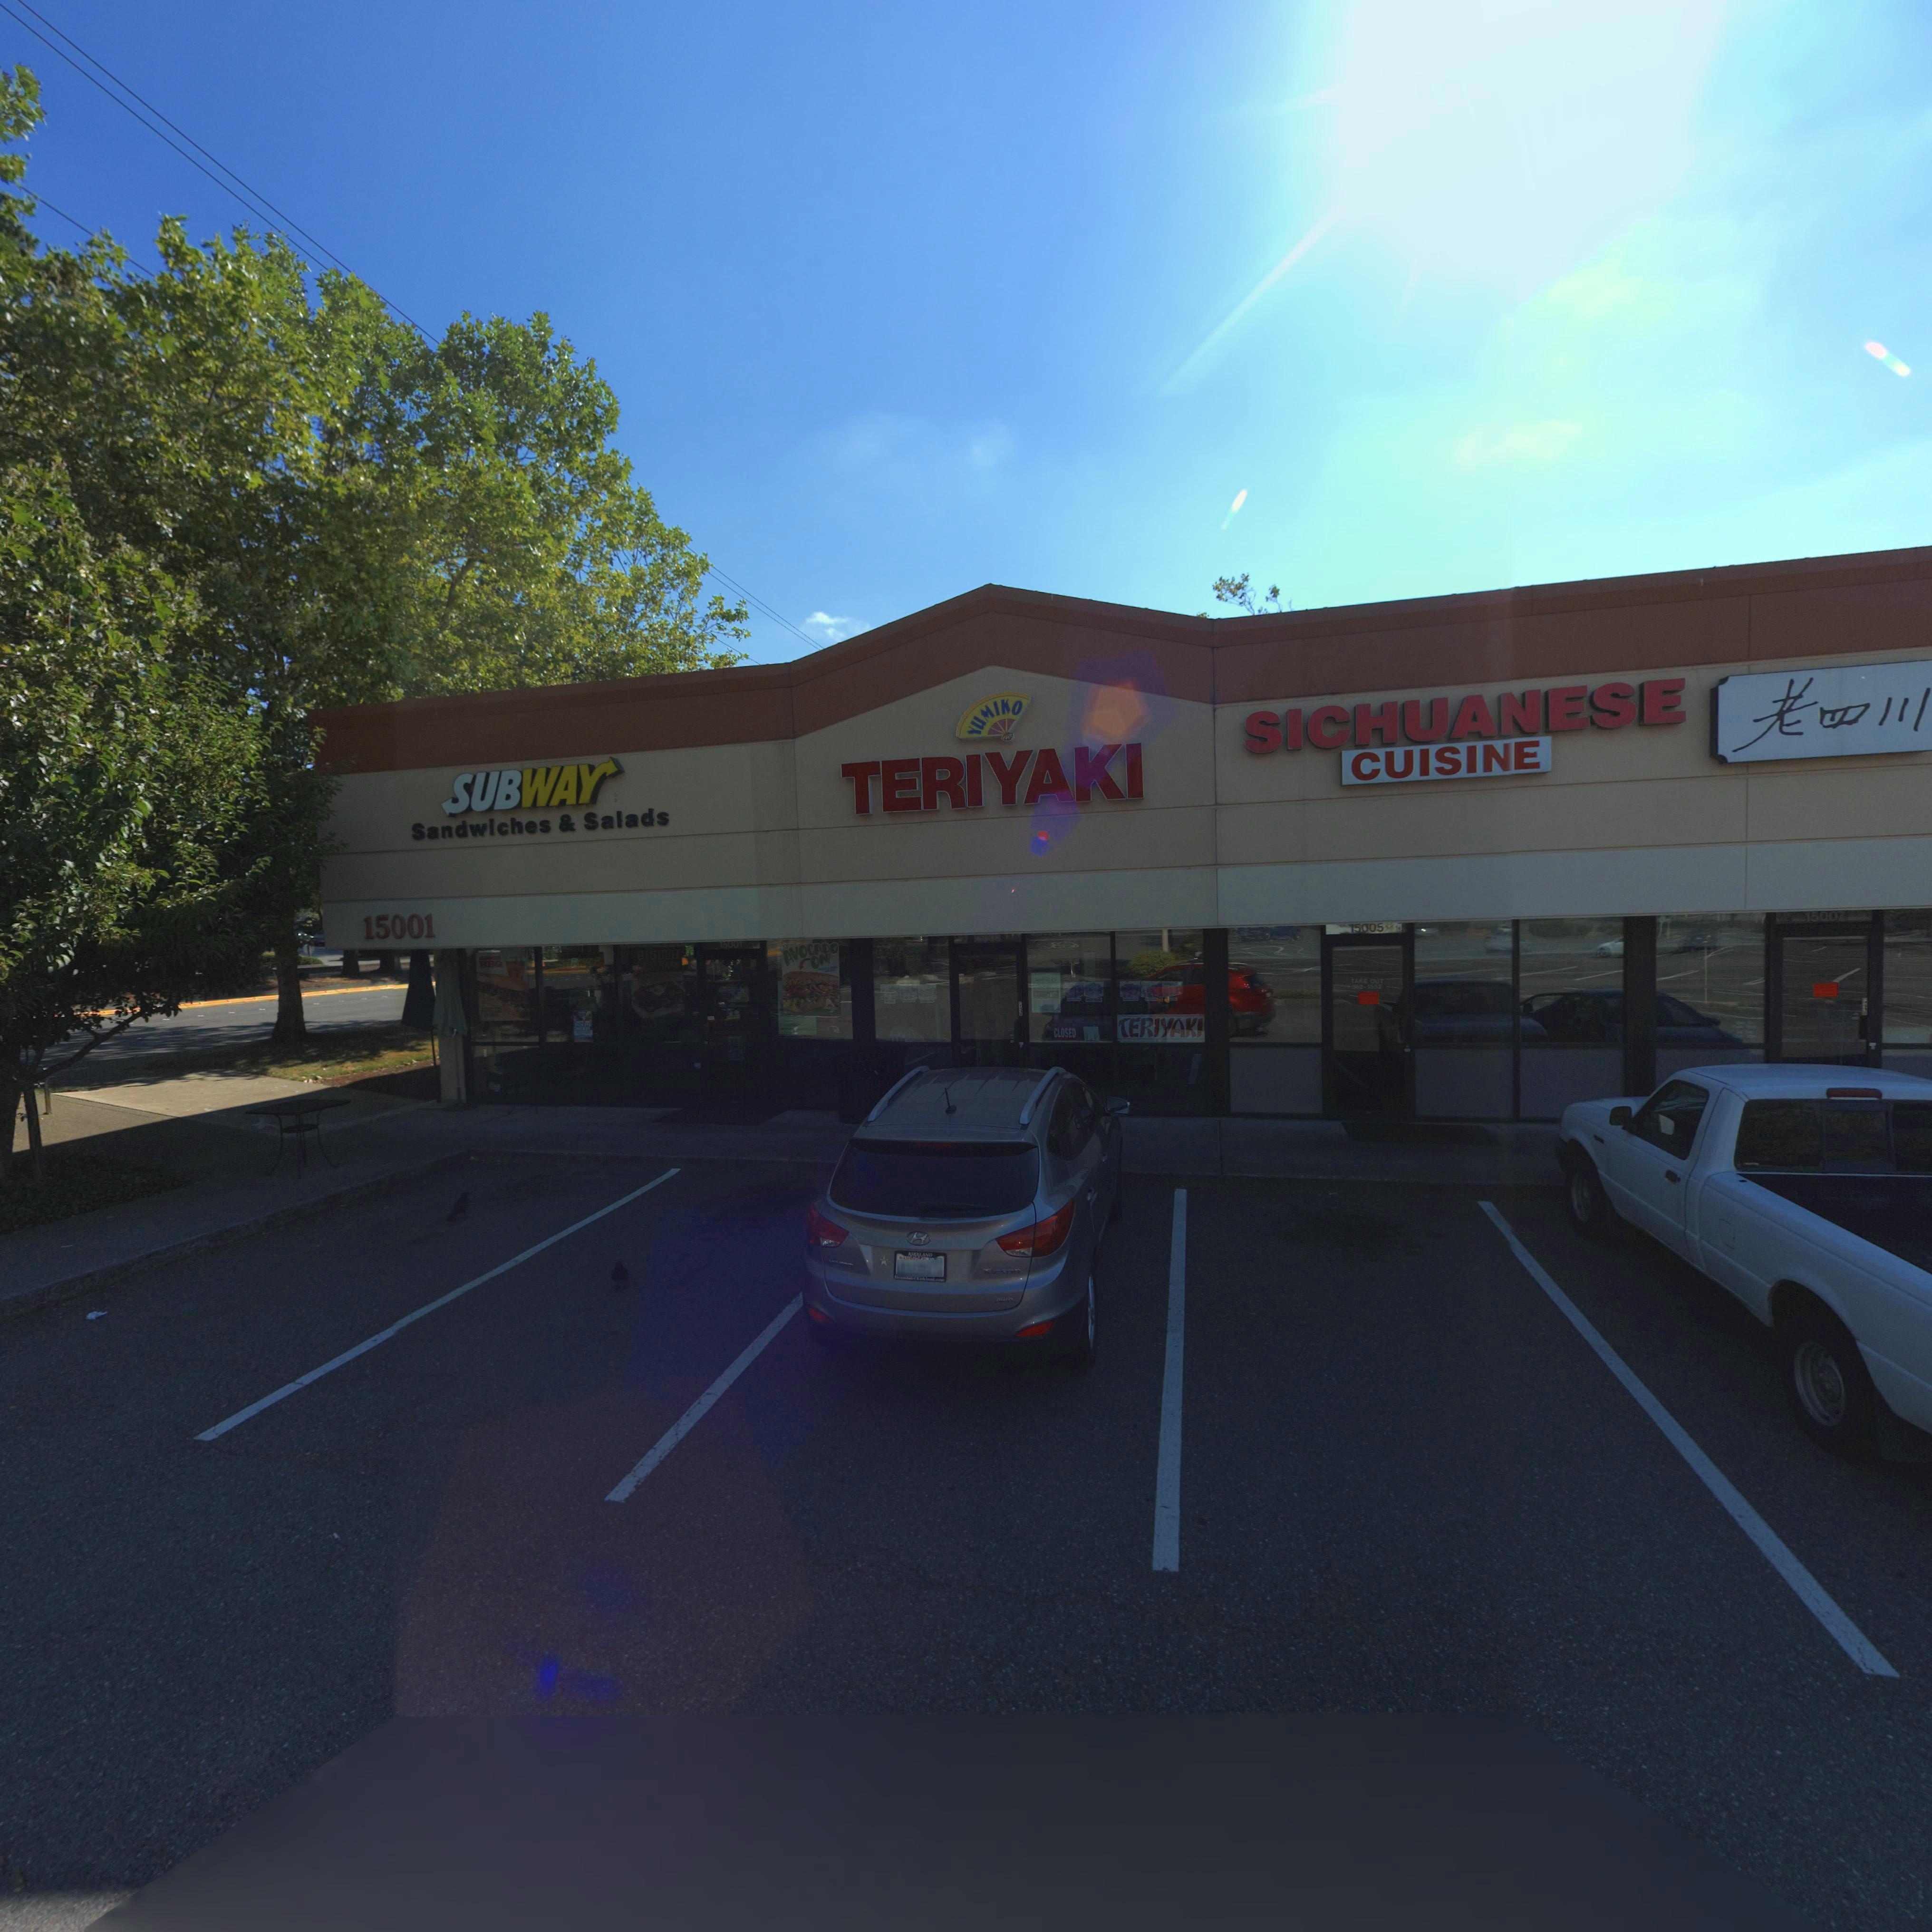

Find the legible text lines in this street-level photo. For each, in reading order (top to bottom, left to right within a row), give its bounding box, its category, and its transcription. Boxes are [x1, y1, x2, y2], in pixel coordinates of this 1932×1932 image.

[966, 697, 1022, 735] BusinessName: YUMIKO
[1243, 677, 1689, 756] BusinessName: SICHUANESE
[440, 759, 616, 813] BusinessName: SUBWAY
[840, 741, 1147, 815] BusinessName: TERIYAKI
[1351, 741, 1541, 781] BusinessName: CUISINE
[362, 912, 437, 940] StreetNumber: 15001
[1349, 922, 1385, 934] StreetNumber: 15005
[1805, 909, 1846, 921] StreetNumber: 15007
[1118, 1017, 1203, 1037] BusinessName: TERIYAKI